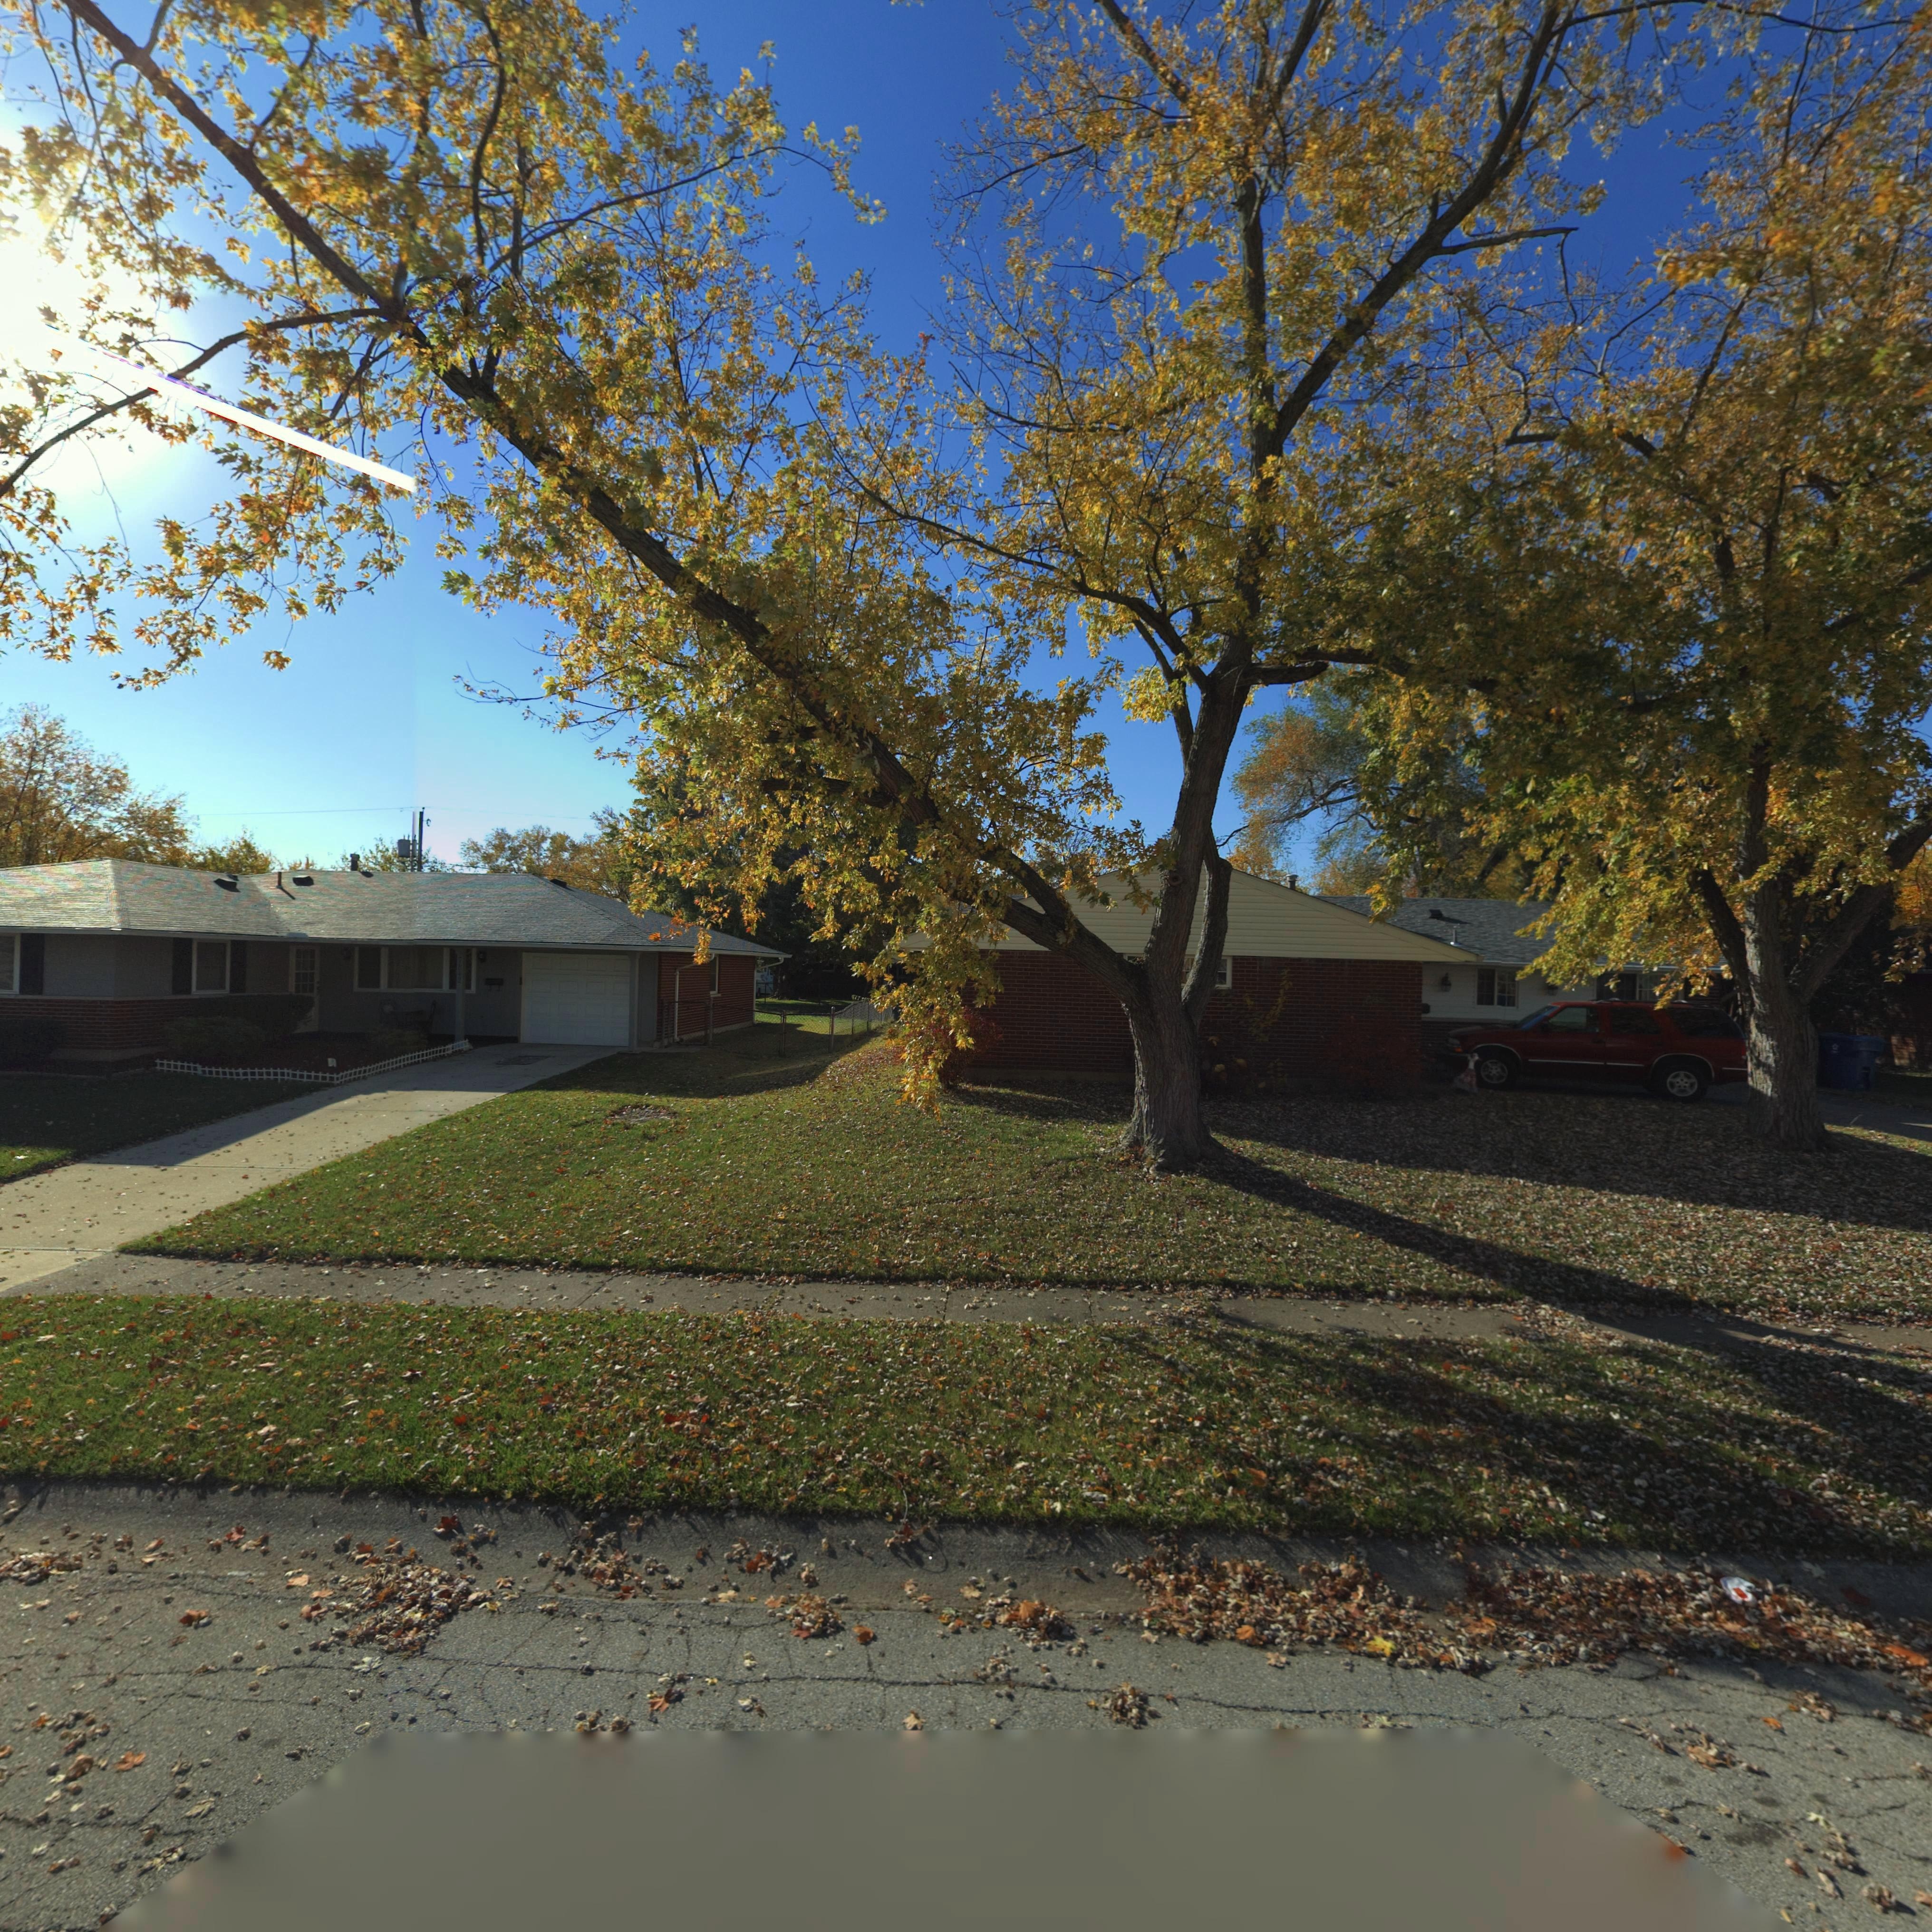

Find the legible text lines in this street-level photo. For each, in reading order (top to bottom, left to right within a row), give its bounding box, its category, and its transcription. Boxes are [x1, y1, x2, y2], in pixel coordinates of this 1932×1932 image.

[456, 956, 463, 984] StreetNumber: 7842